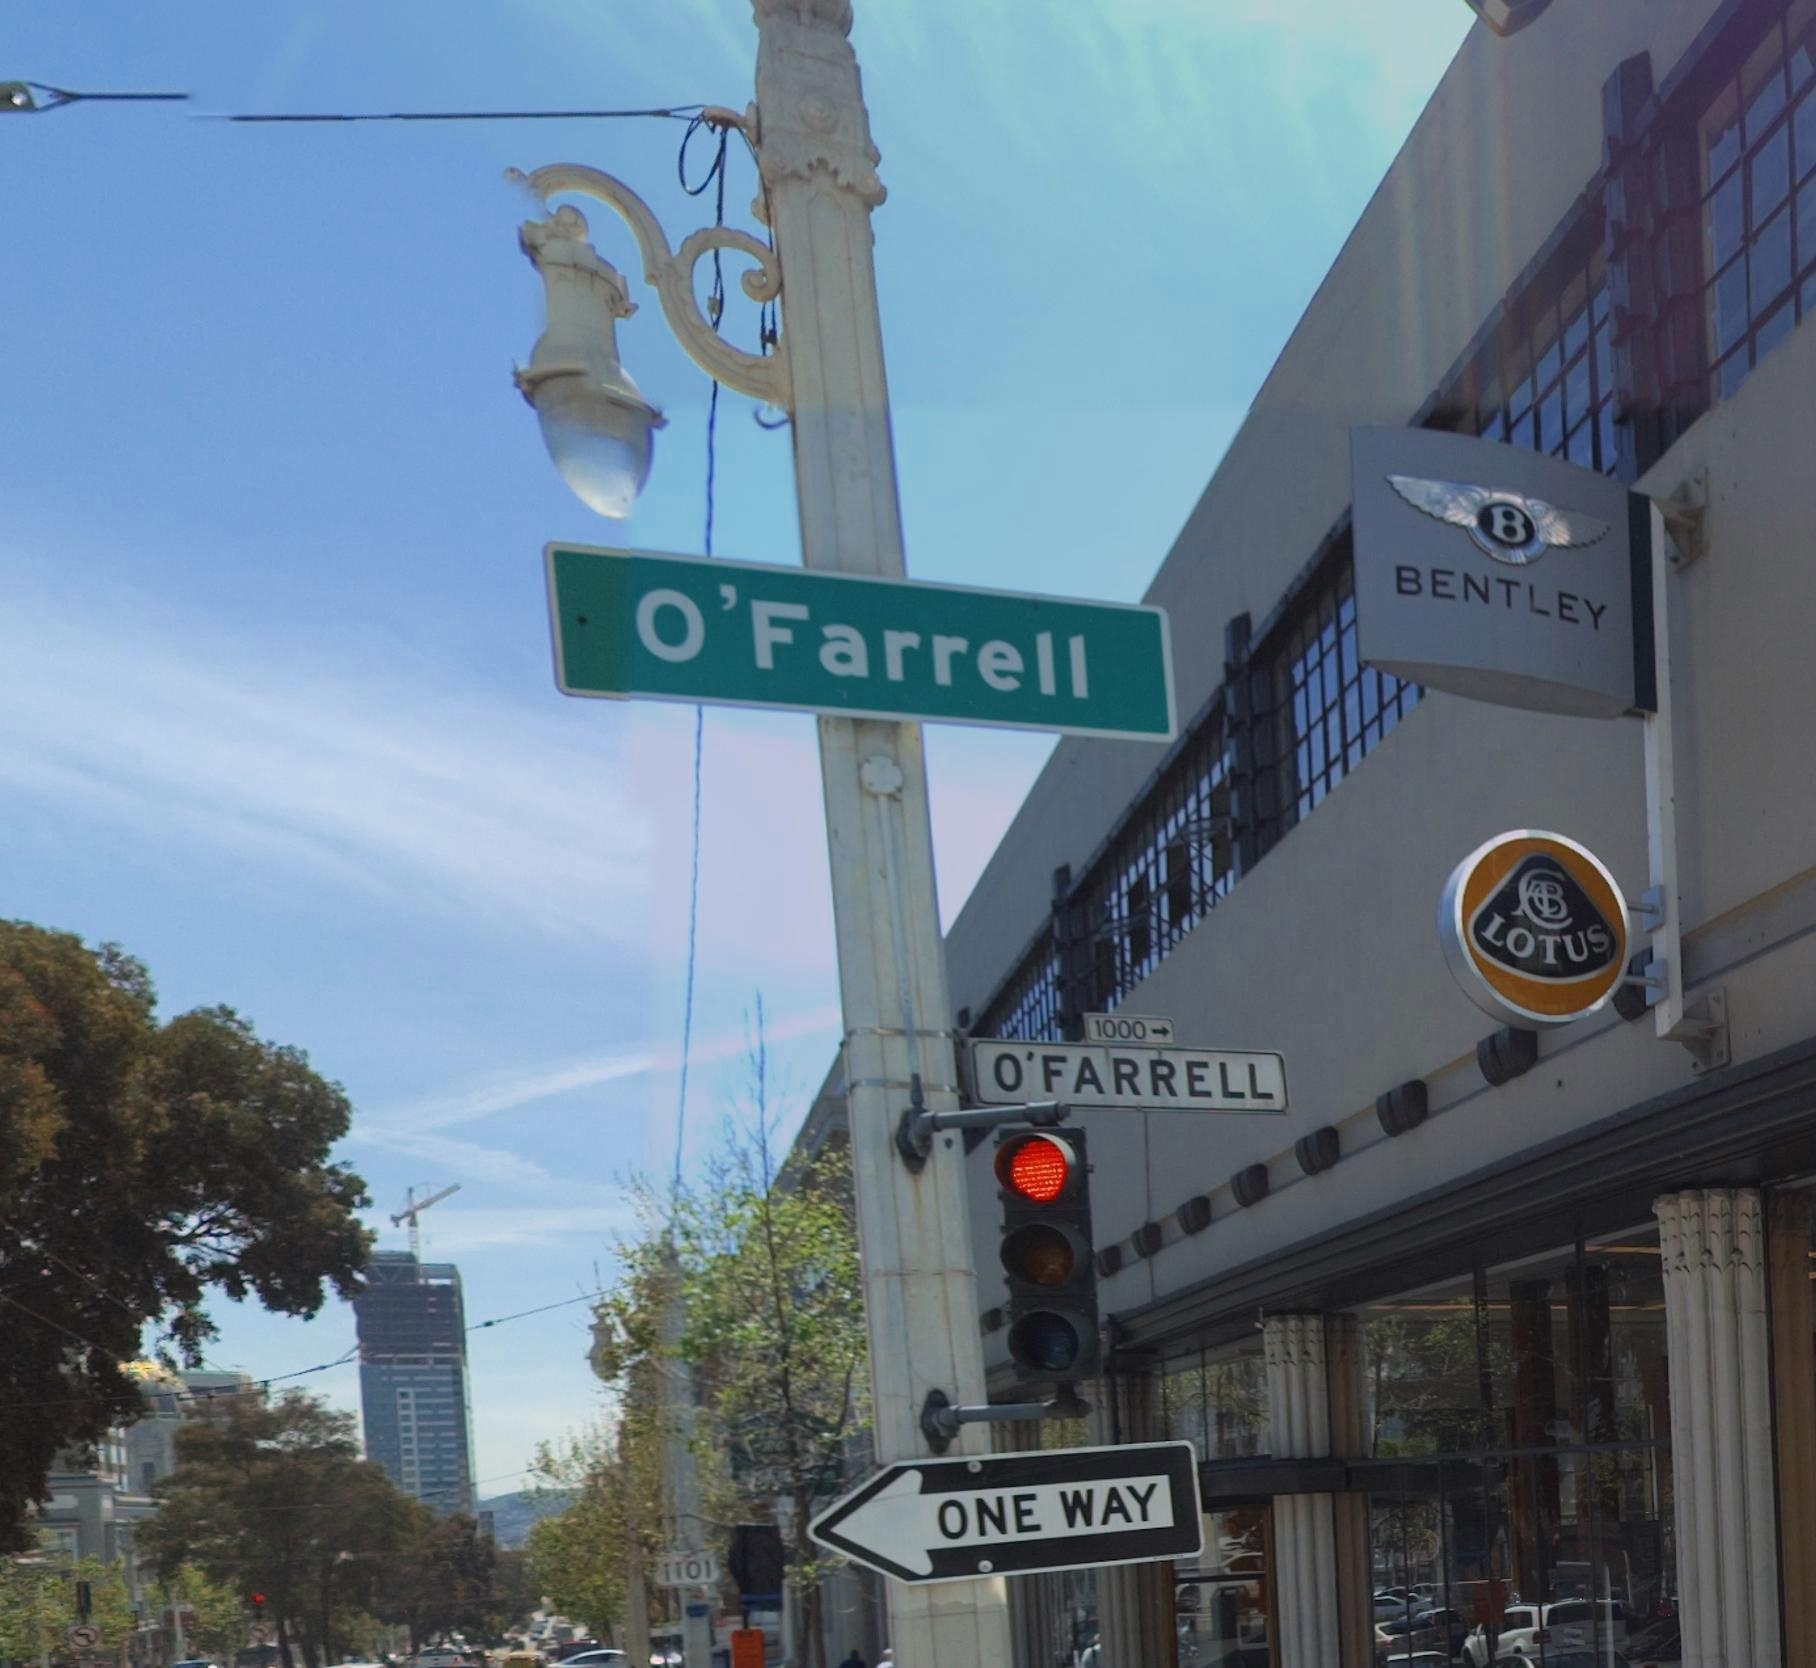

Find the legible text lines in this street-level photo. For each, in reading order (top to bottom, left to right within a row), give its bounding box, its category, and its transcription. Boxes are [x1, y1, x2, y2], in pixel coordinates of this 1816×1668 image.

[1490, 502, 1530, 546] None: B
[1393, 558, 1613, 634] BusinessName: BENTLEY
[627, 578, 1095, 704] StreetName: O'Farrell
[1475, 904, 1614, 971] BusinessName: LOTUS
[1091, 1015, 1175, 1045] StreetNumberRange: 1000->
[988, 1049, 1280, 1103] StreetName: O'FARRELL
[930, 1480, 1162, 1546] None: ONE WAY
[662, 1558, 713, 1583] None: 1101